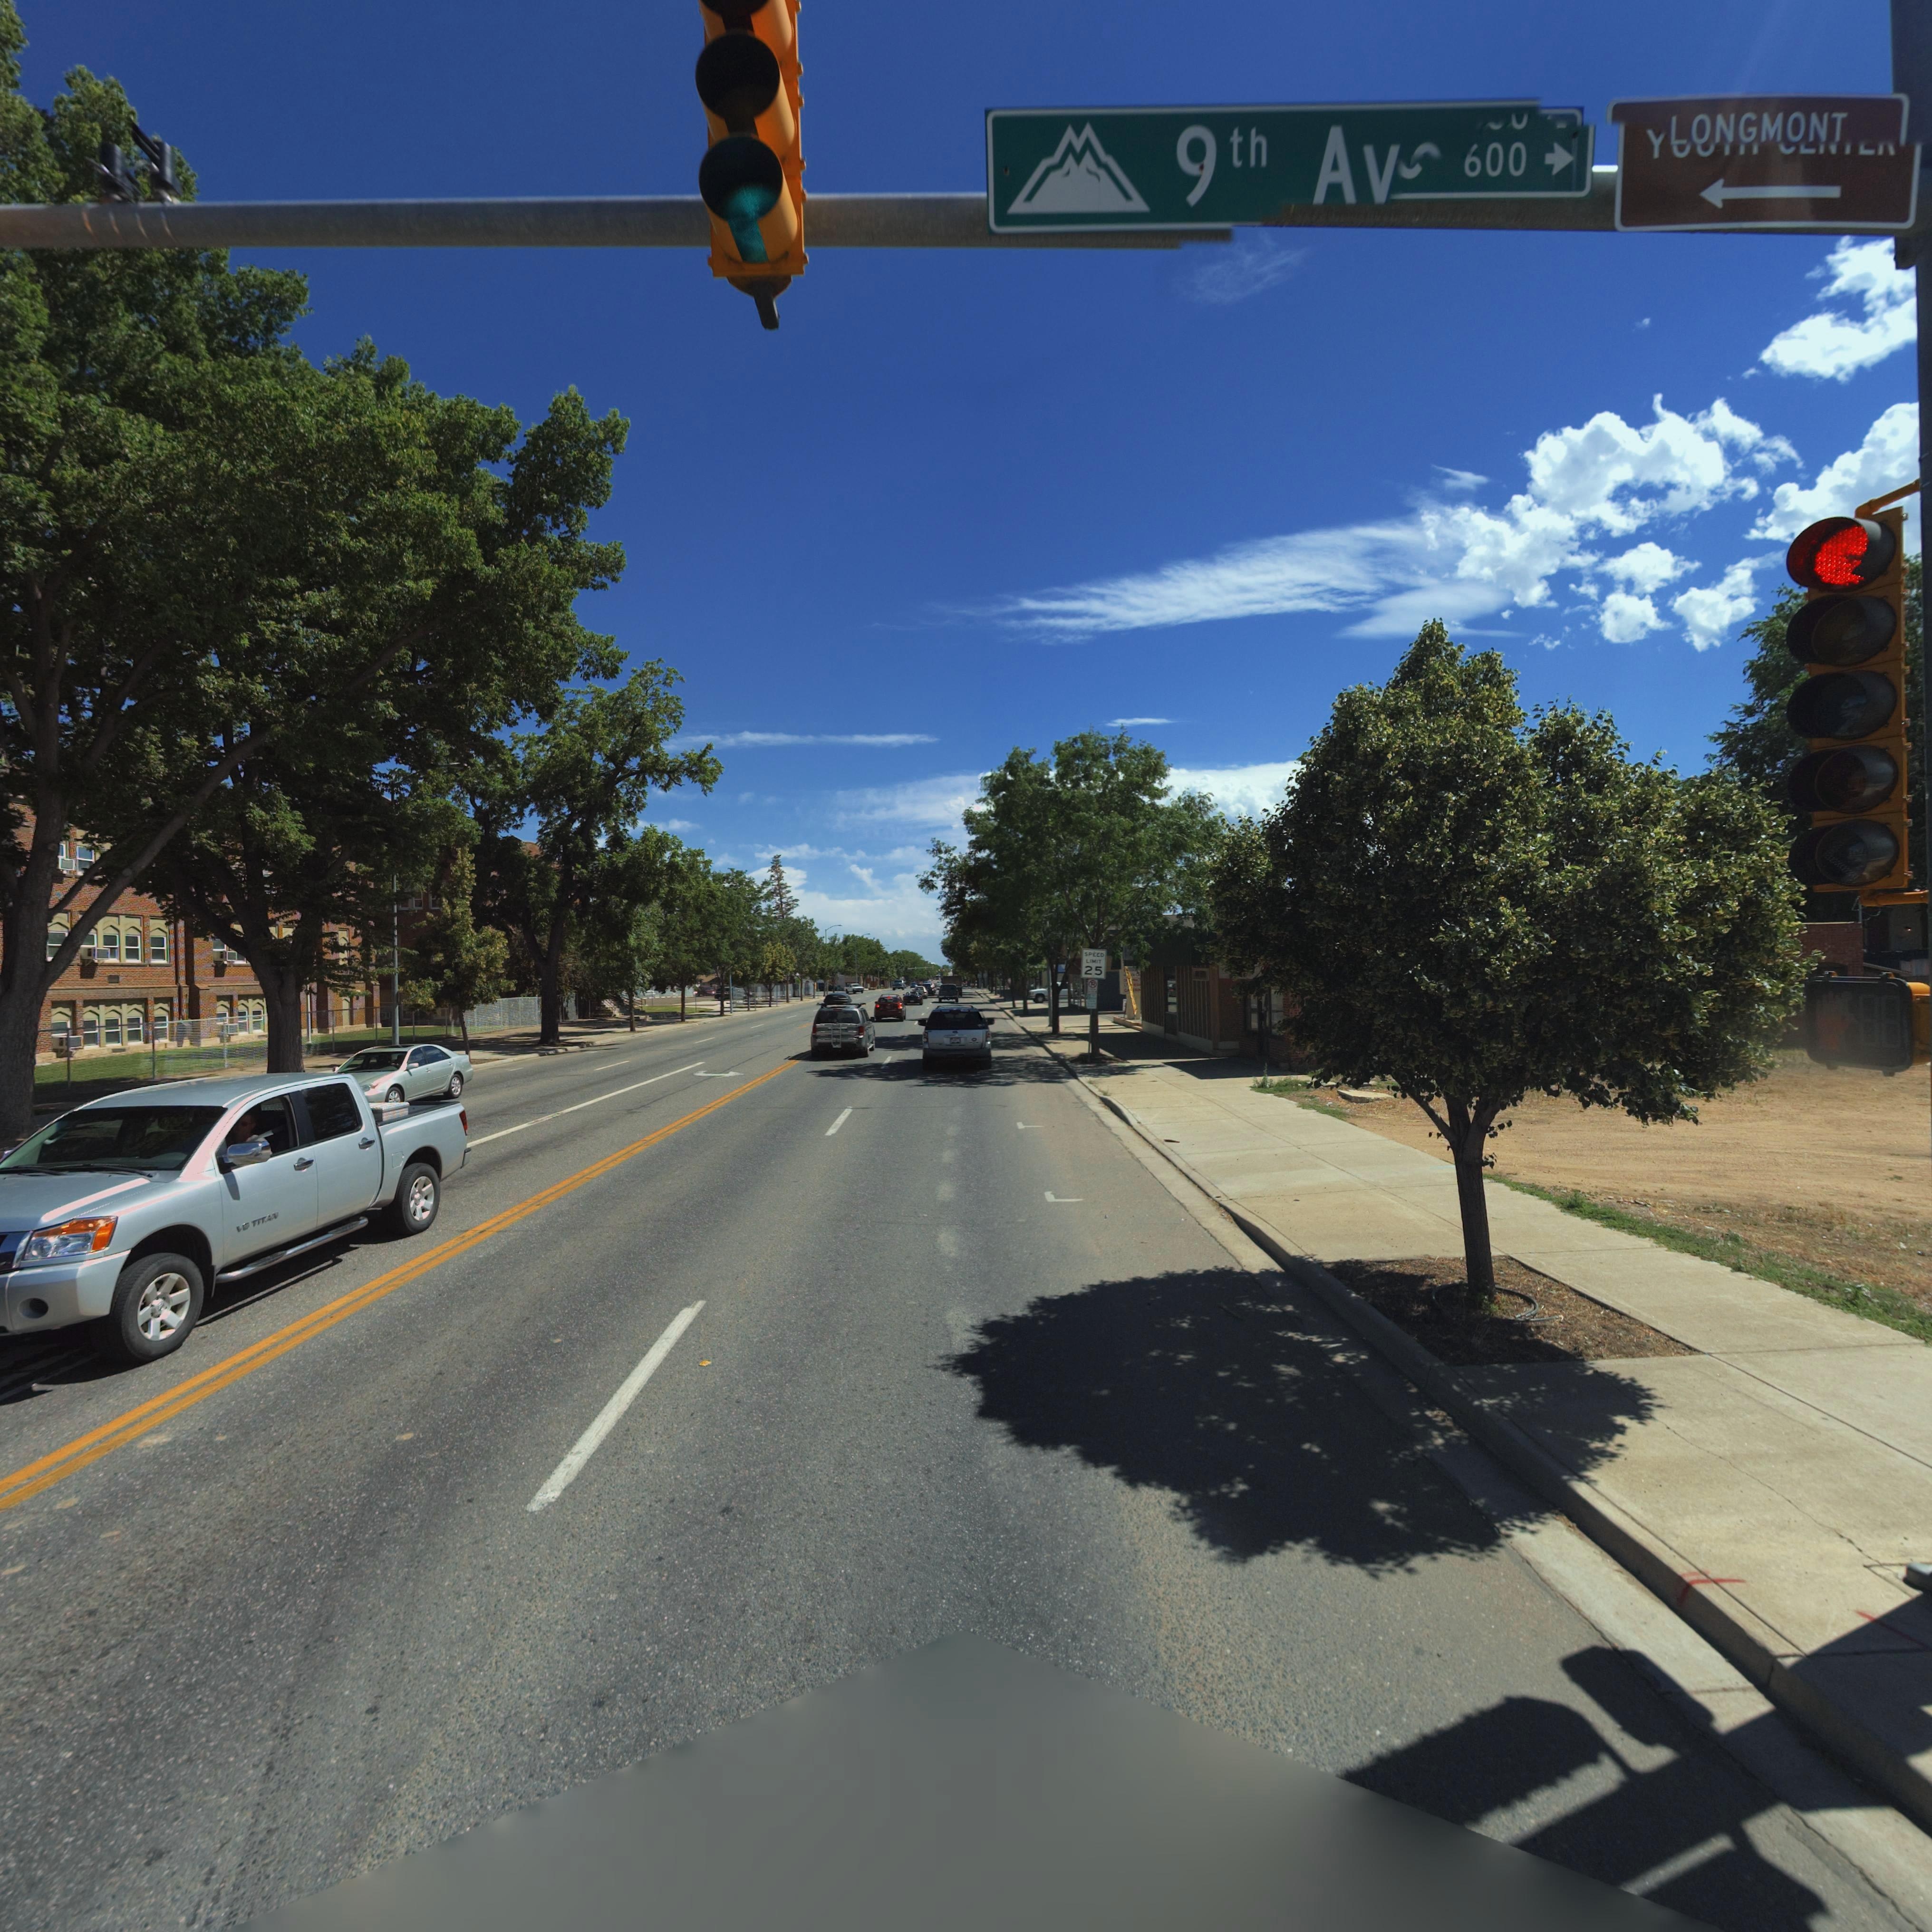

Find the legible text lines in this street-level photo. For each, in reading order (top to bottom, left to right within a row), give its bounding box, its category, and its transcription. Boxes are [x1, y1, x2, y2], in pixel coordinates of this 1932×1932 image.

[1173, 122, 1404, 209] StreetName: 9th Av
[1462, 141, 1577, 178] StreetNumberRange: 600->